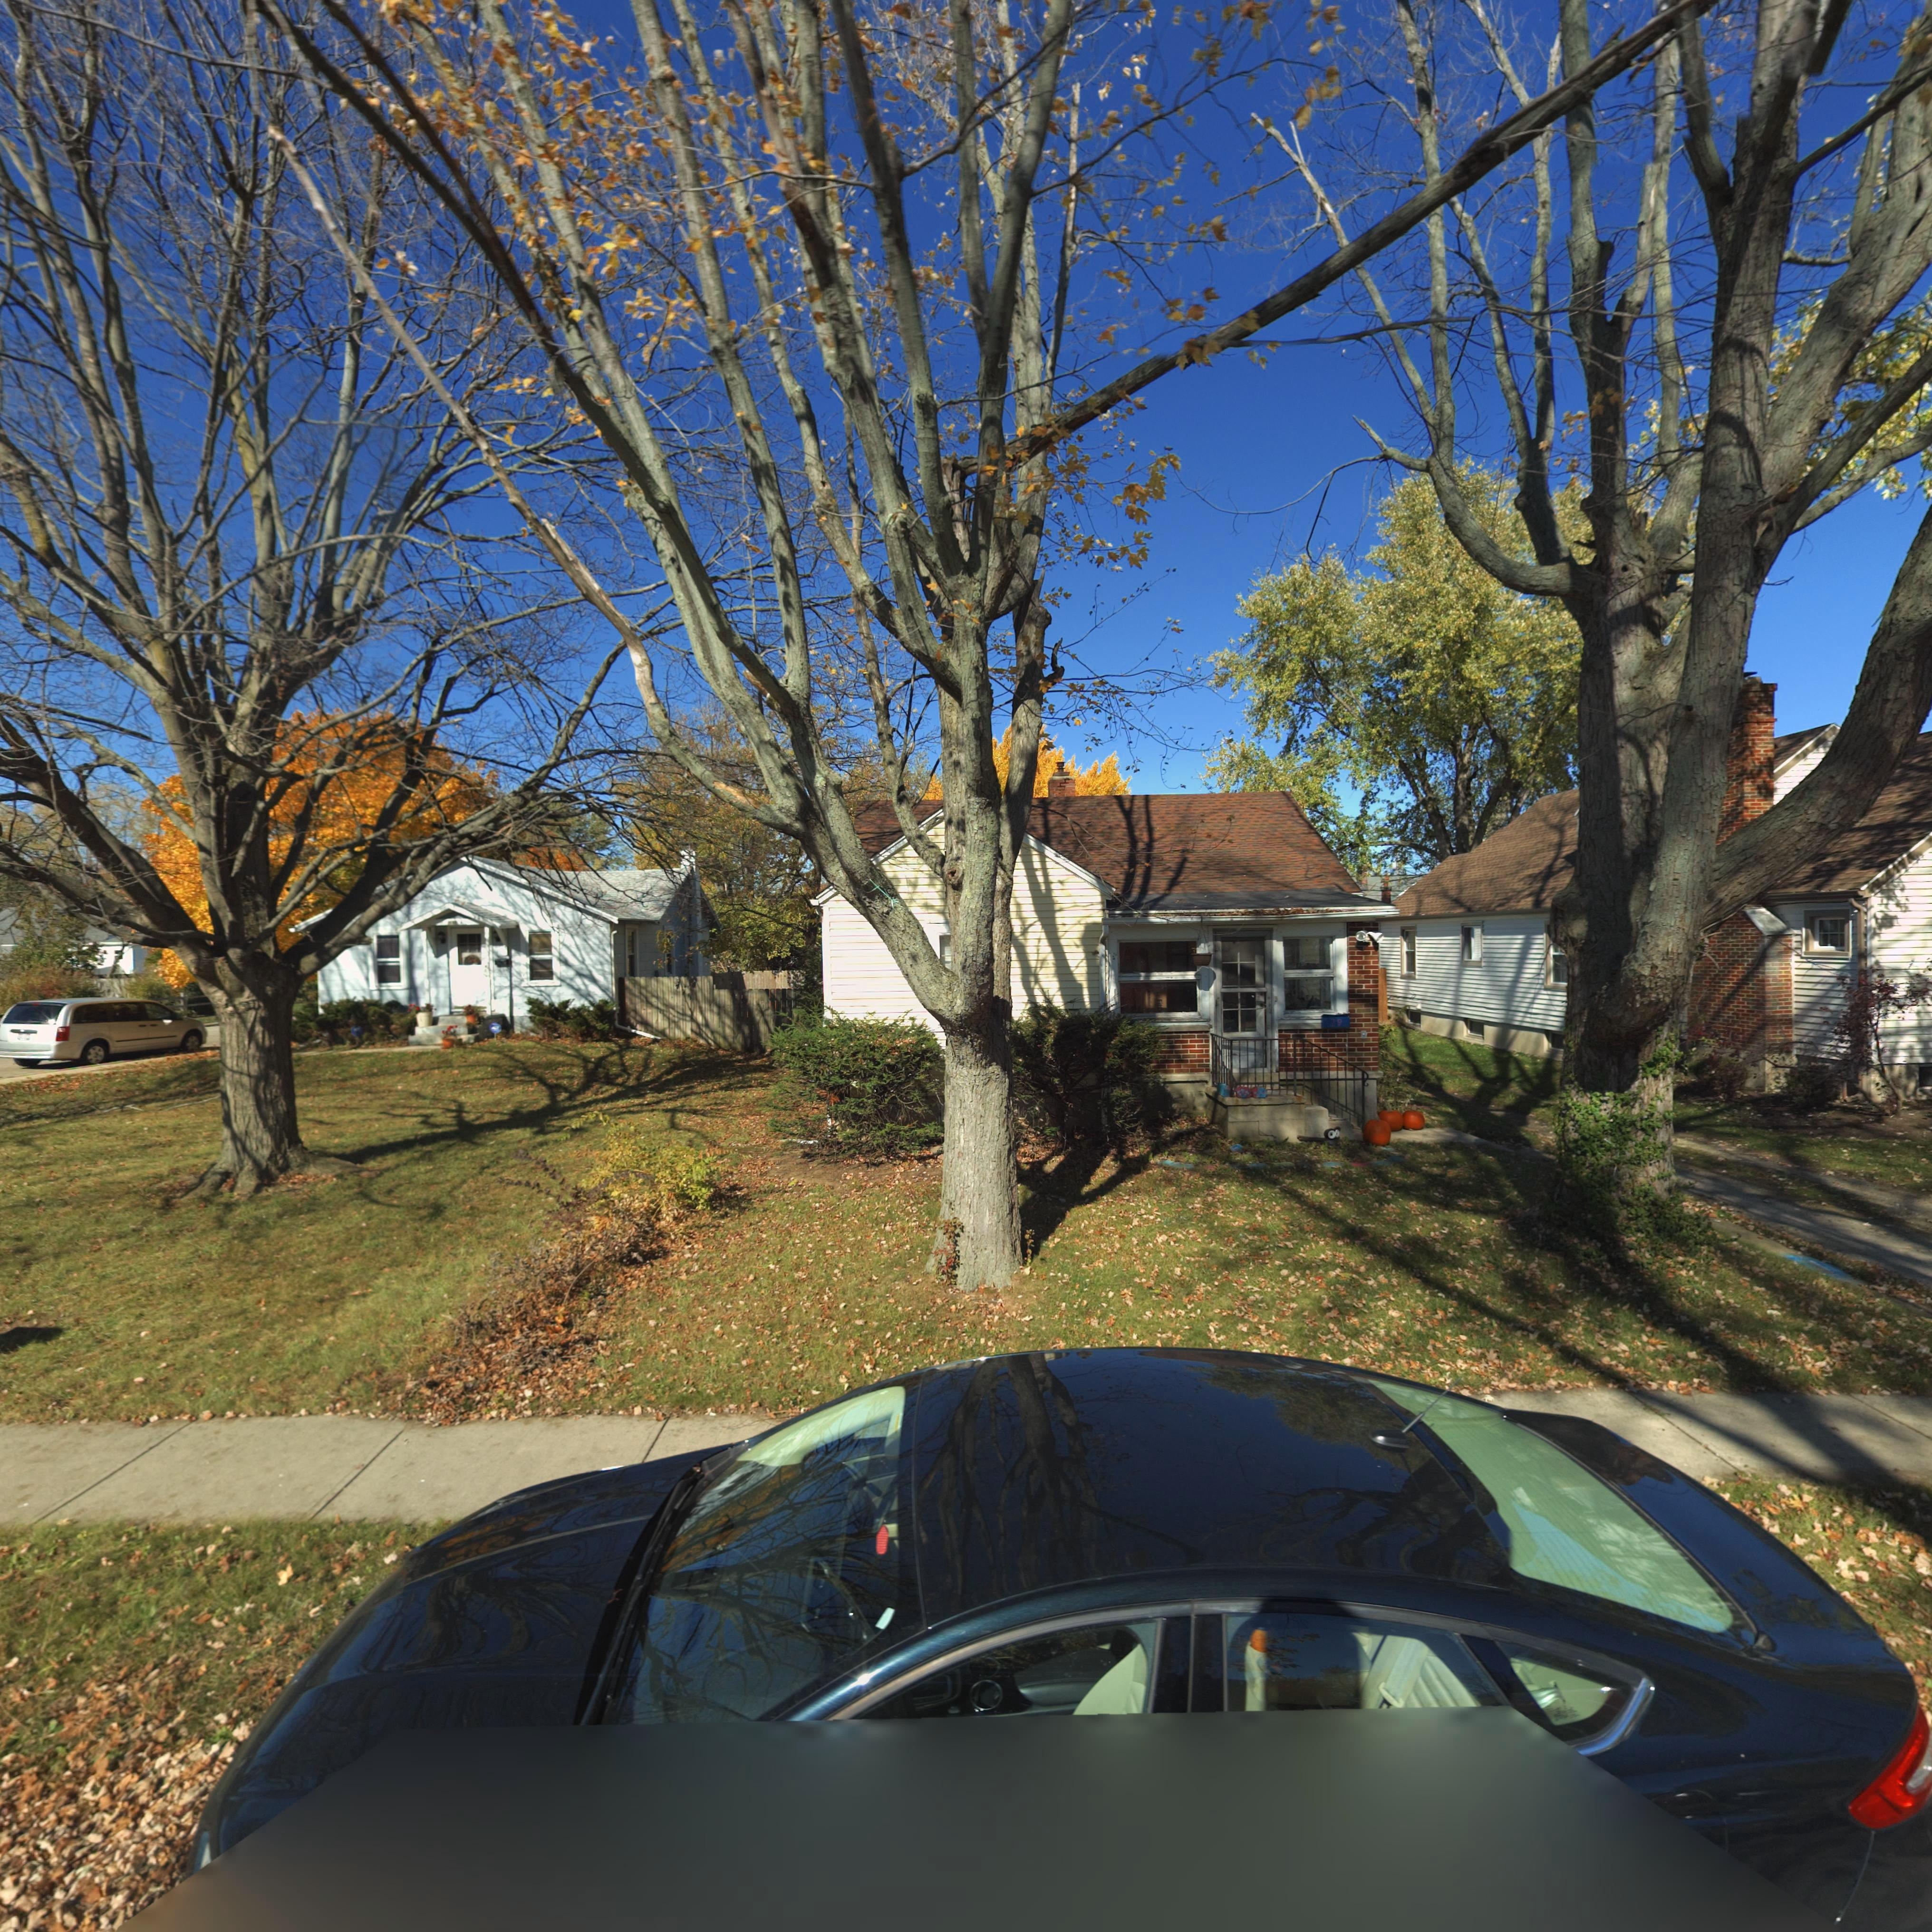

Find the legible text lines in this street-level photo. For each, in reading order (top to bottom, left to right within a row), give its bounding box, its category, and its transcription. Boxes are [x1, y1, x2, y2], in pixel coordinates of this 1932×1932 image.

[1328, 1018, 1343, 1028] StreetNumber: *9